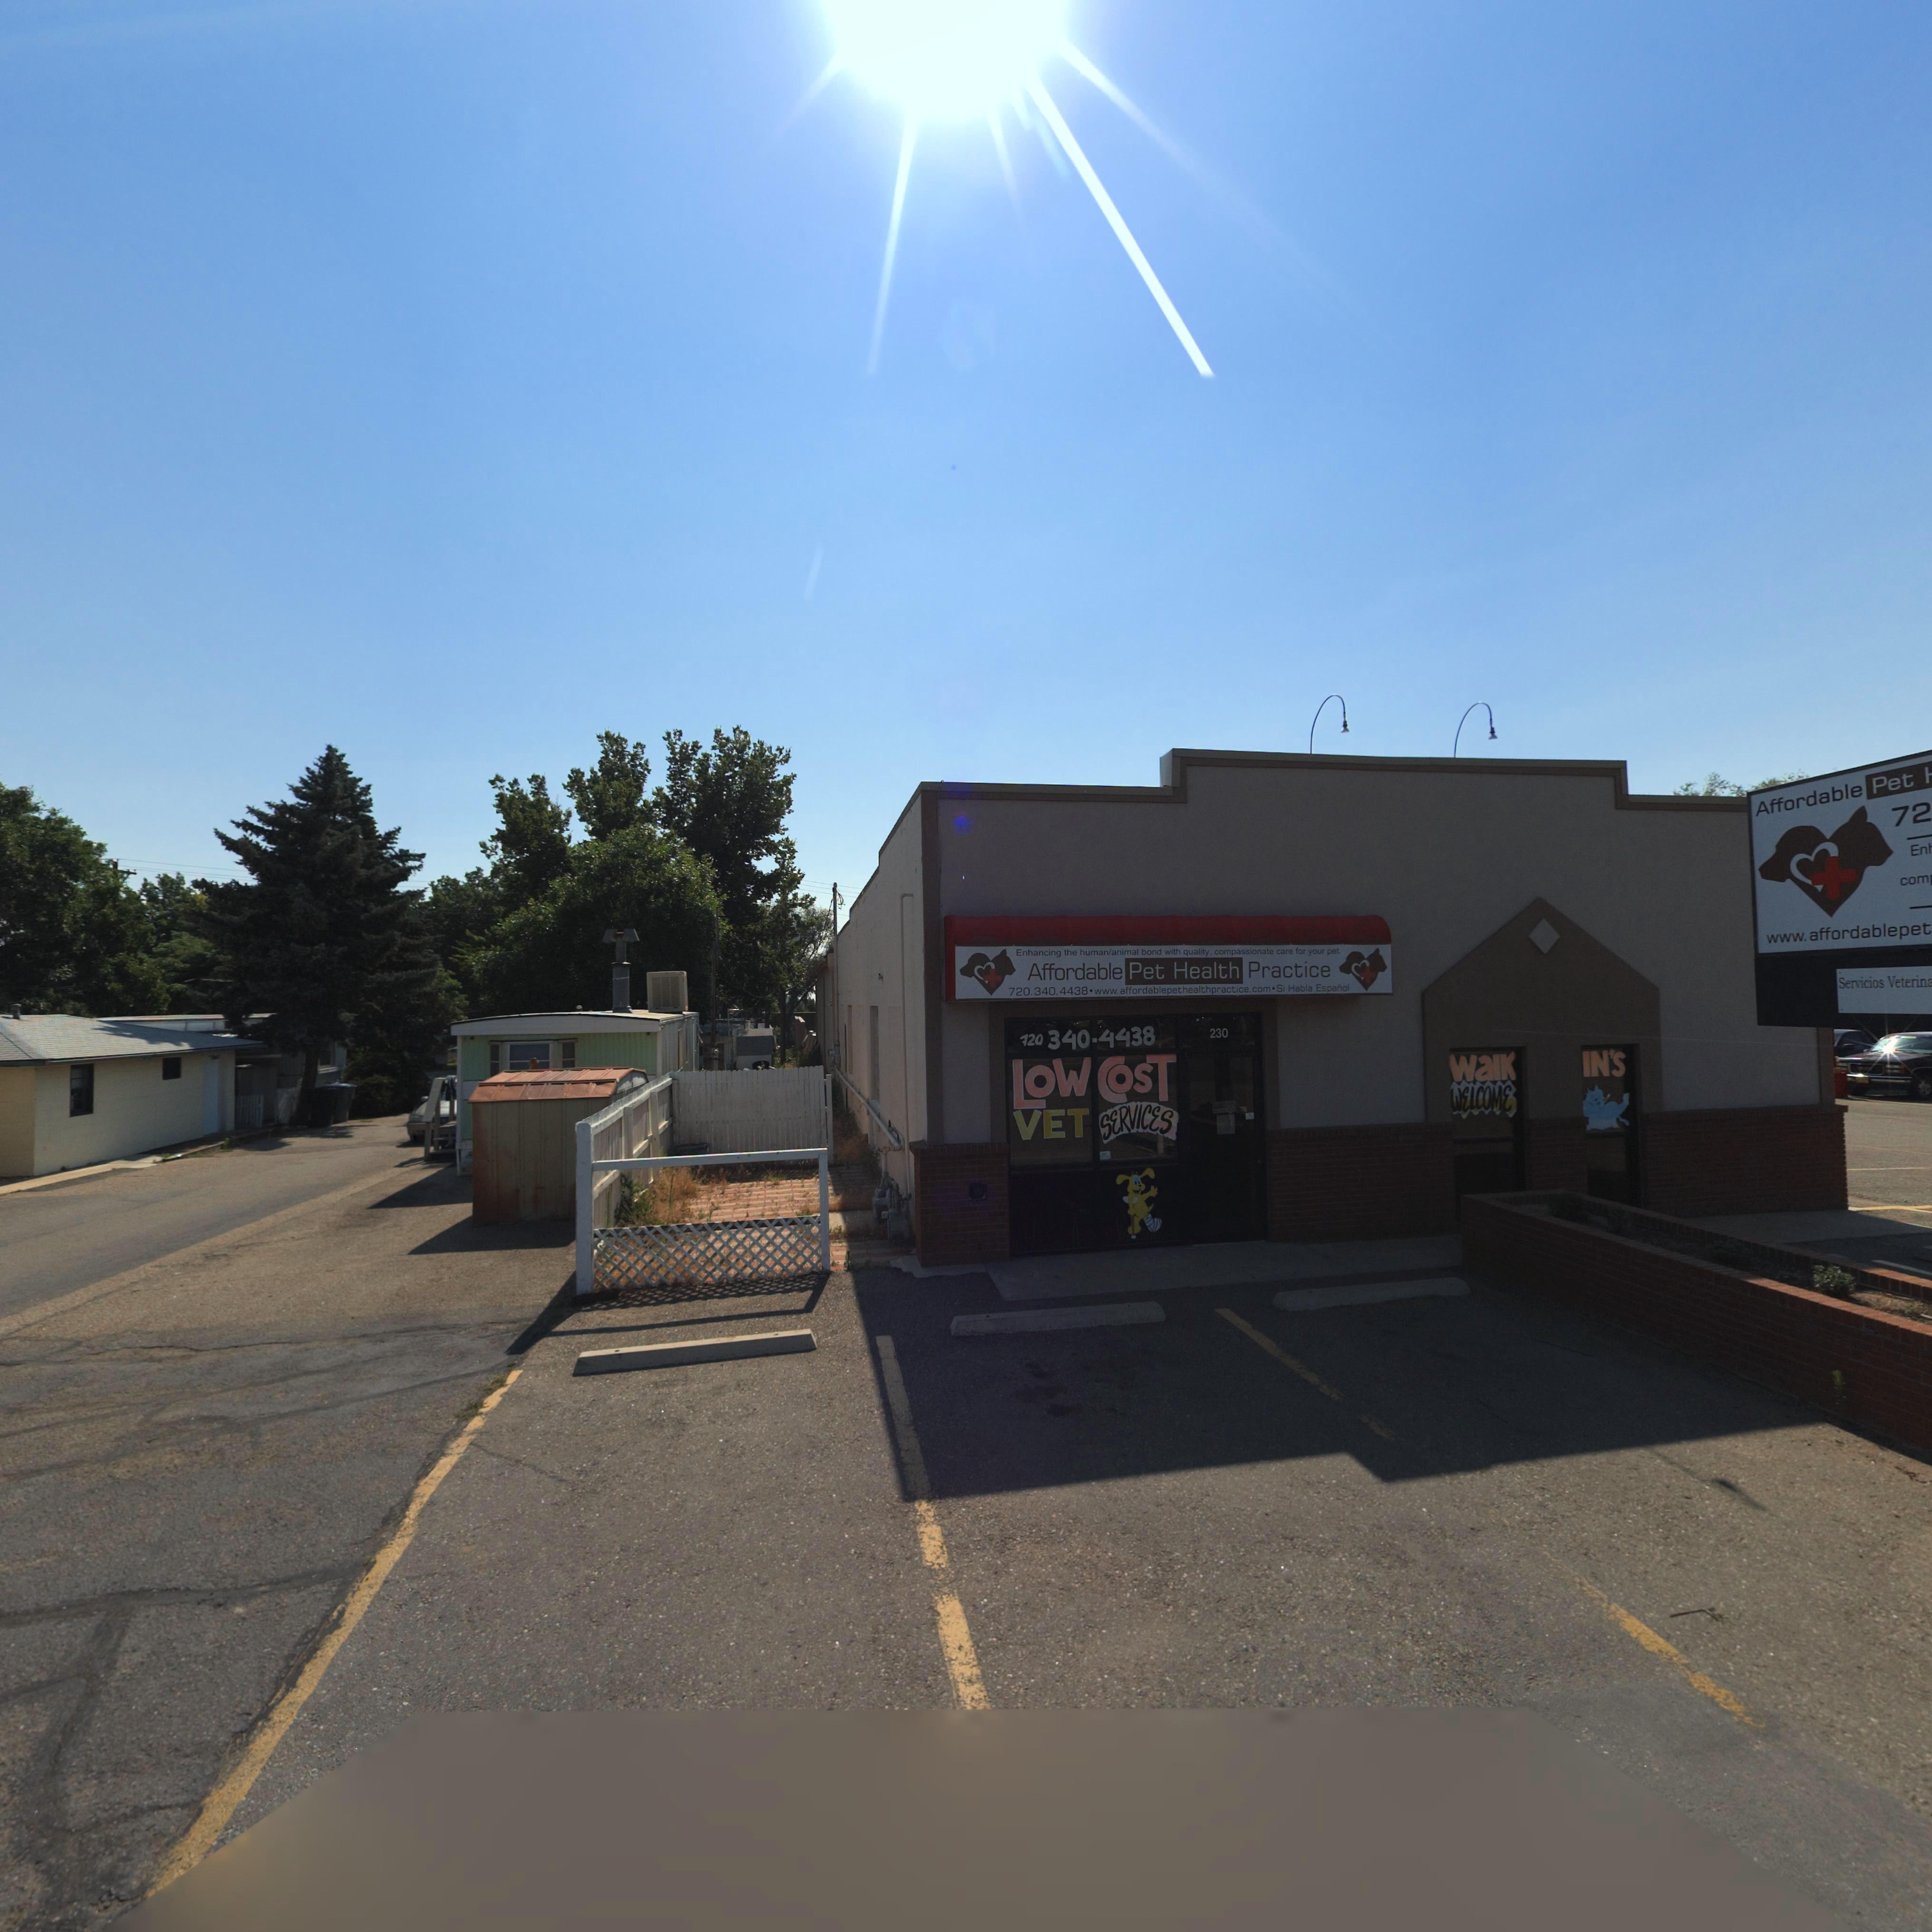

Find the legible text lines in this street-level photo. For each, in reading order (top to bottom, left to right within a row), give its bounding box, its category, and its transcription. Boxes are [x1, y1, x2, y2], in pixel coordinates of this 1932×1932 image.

[1755, 772, 1916, 817] BusinessName: Affordable Pet
[1027, 960, 1332, 982] BusinessName: Affordable Pet Health Practice